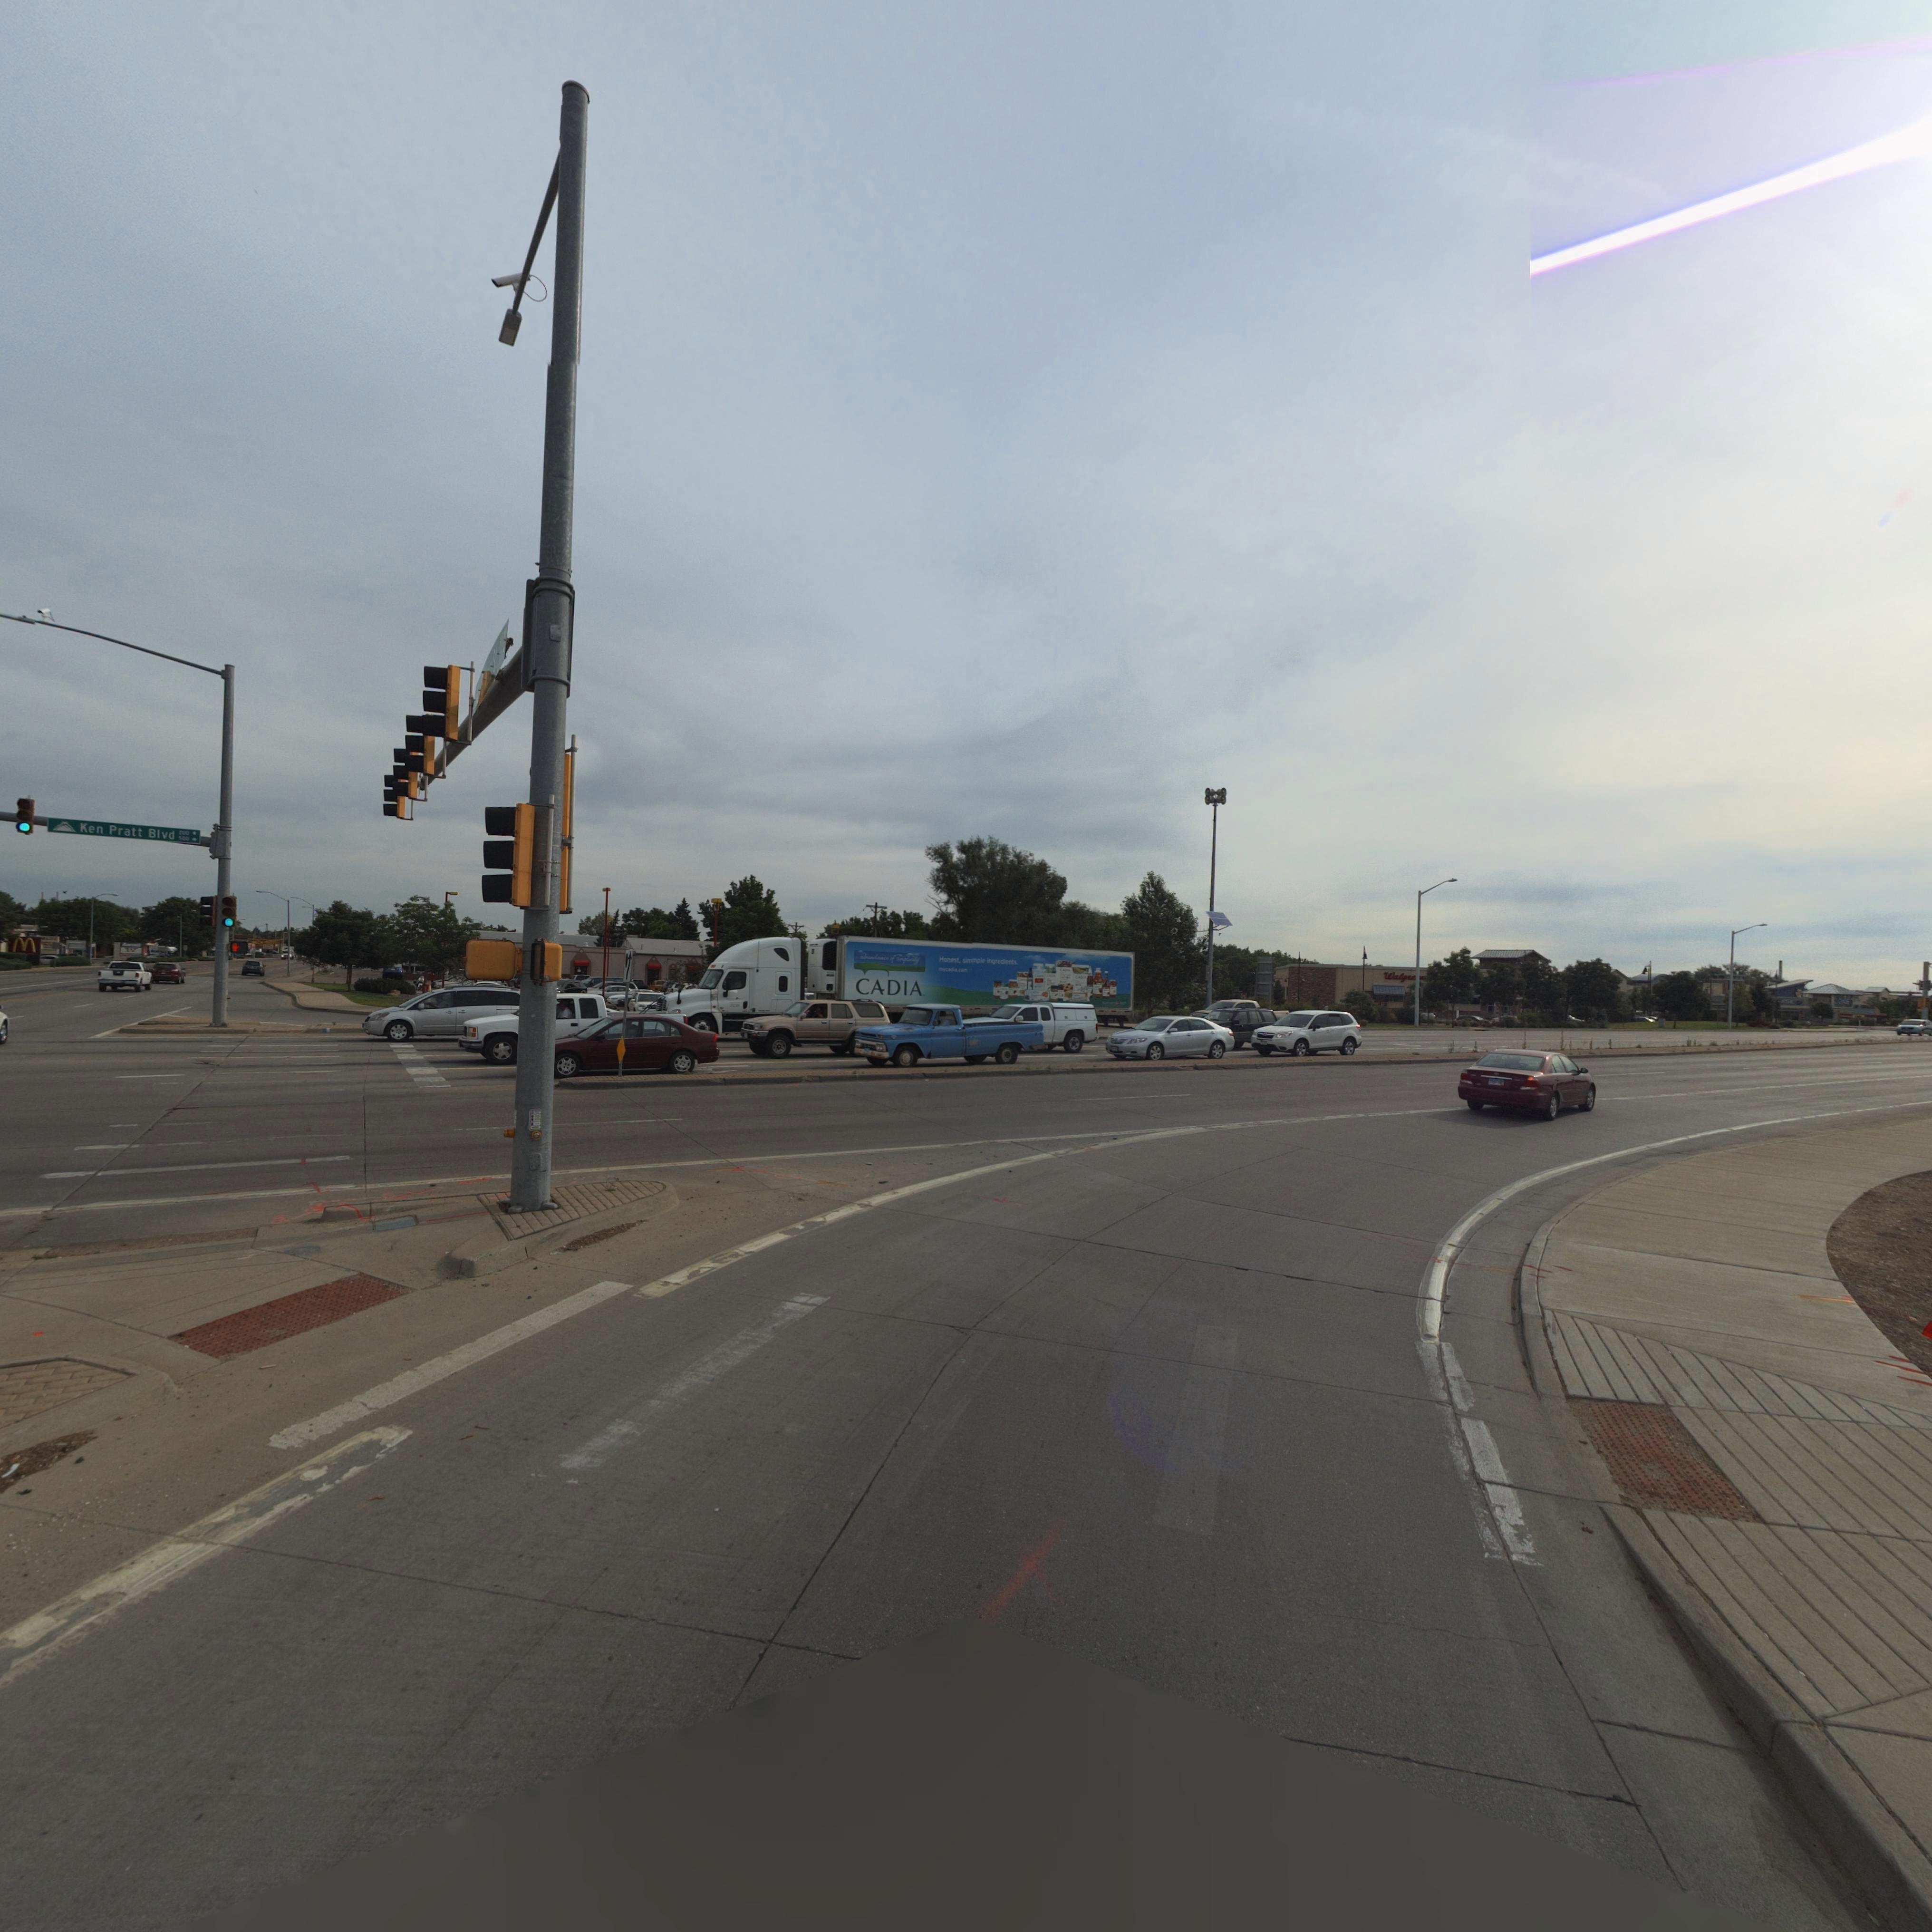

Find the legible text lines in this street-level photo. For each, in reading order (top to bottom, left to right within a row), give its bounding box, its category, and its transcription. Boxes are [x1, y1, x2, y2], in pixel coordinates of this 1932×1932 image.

[475, 646, 498, 702] StreetName: * **** St
[79, 821, 174, 840] StreetName: Ken Pratt Blvd
[178, 830, 190, 835] StreetNumberRange: *00
[178, 835, 198, 841] StreetNumber: 500 ->
[1384, 971, 1427, 983] BusinessName: Walgree*s
[1779, 998, 1795, 1005] BusinessName: ASE
[1838, 998, 1849, 1005] BusinessName: C***E